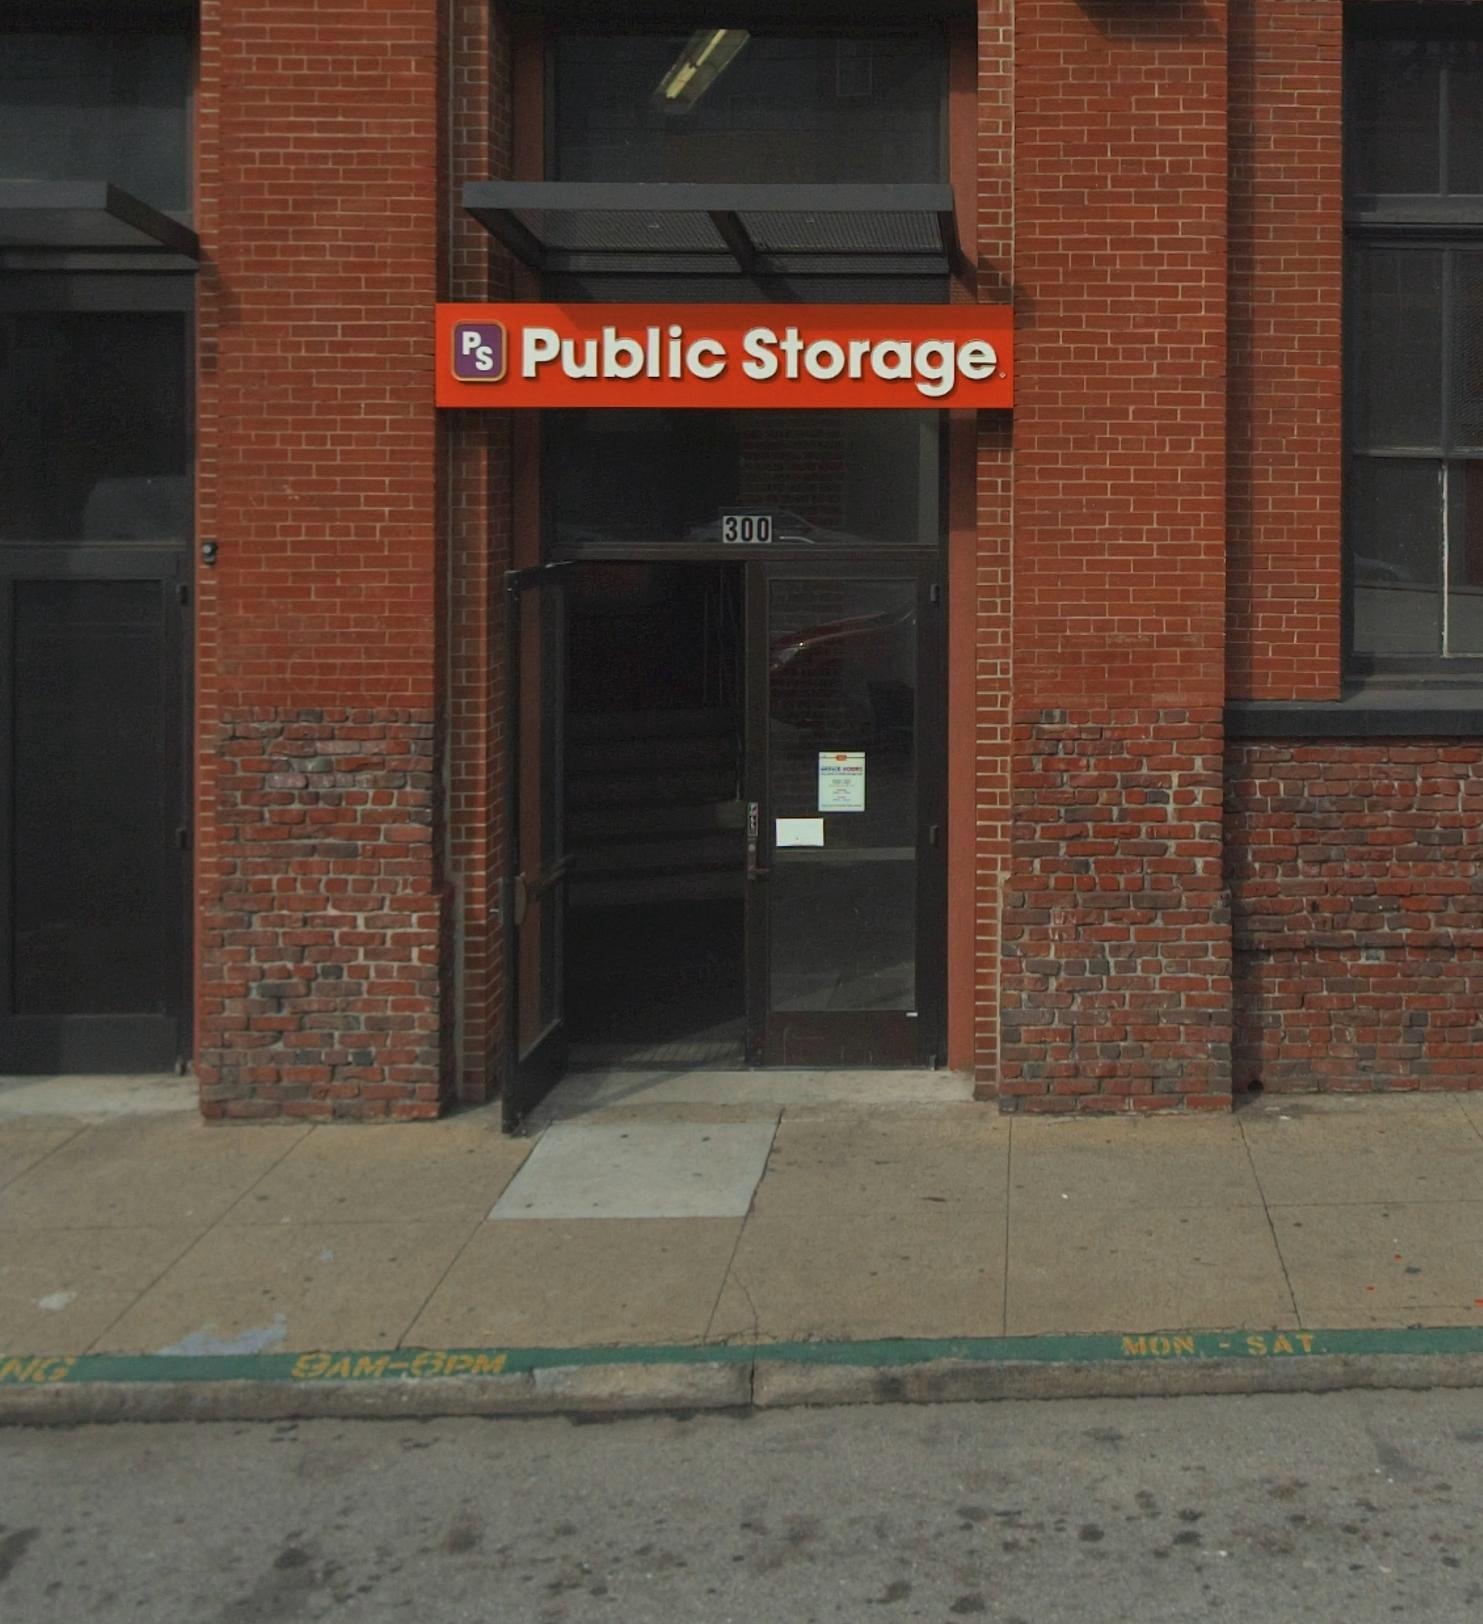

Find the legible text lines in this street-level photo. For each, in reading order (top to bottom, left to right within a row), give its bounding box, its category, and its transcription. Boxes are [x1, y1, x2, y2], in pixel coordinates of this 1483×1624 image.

[519, 323, 998, 401] BusinessName: Public Storage
[724, 515, 771, 542] StreetNumber: 300
[1120, 1333, 1317, 1358] None: MON - SAT
[286, 1350, 510, 1379] None: 9AM-6PM